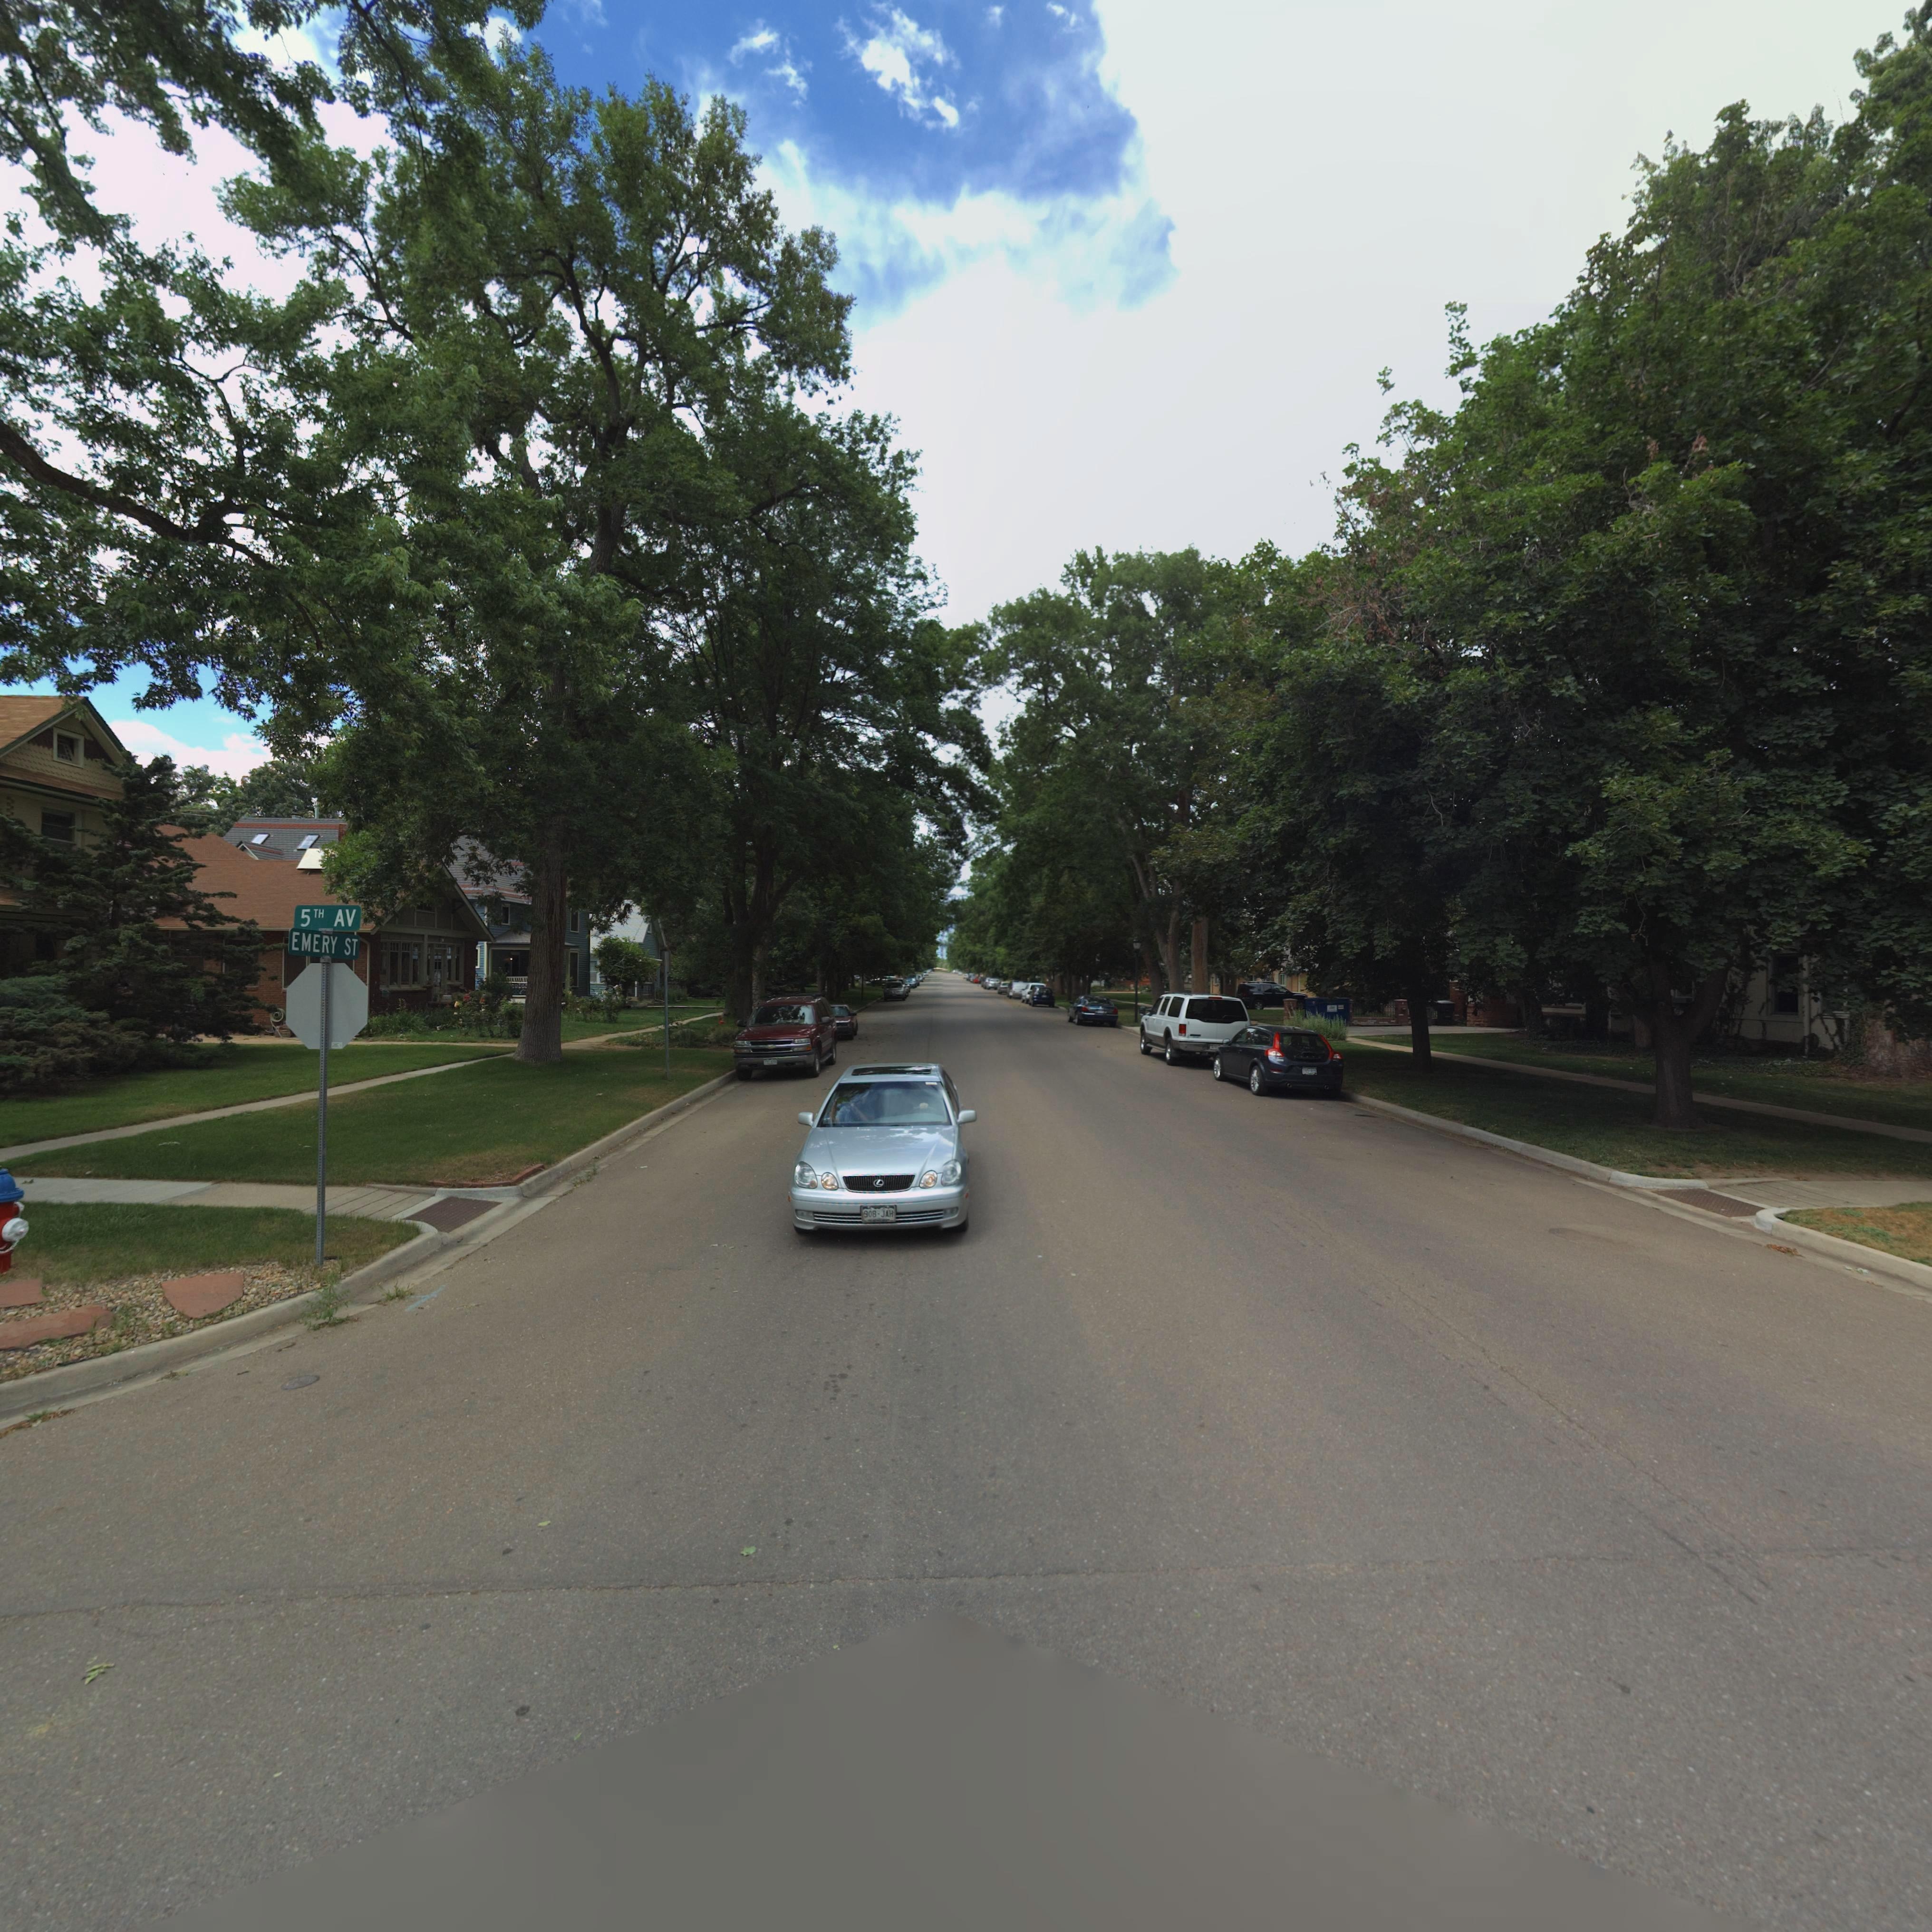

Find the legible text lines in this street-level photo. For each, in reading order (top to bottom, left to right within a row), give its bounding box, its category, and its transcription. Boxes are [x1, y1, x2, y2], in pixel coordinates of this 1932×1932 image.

[299, 908, 358, 927] StreetName: 5TH AV
[290, 931, 359, 957] StreetName: EMERY ST